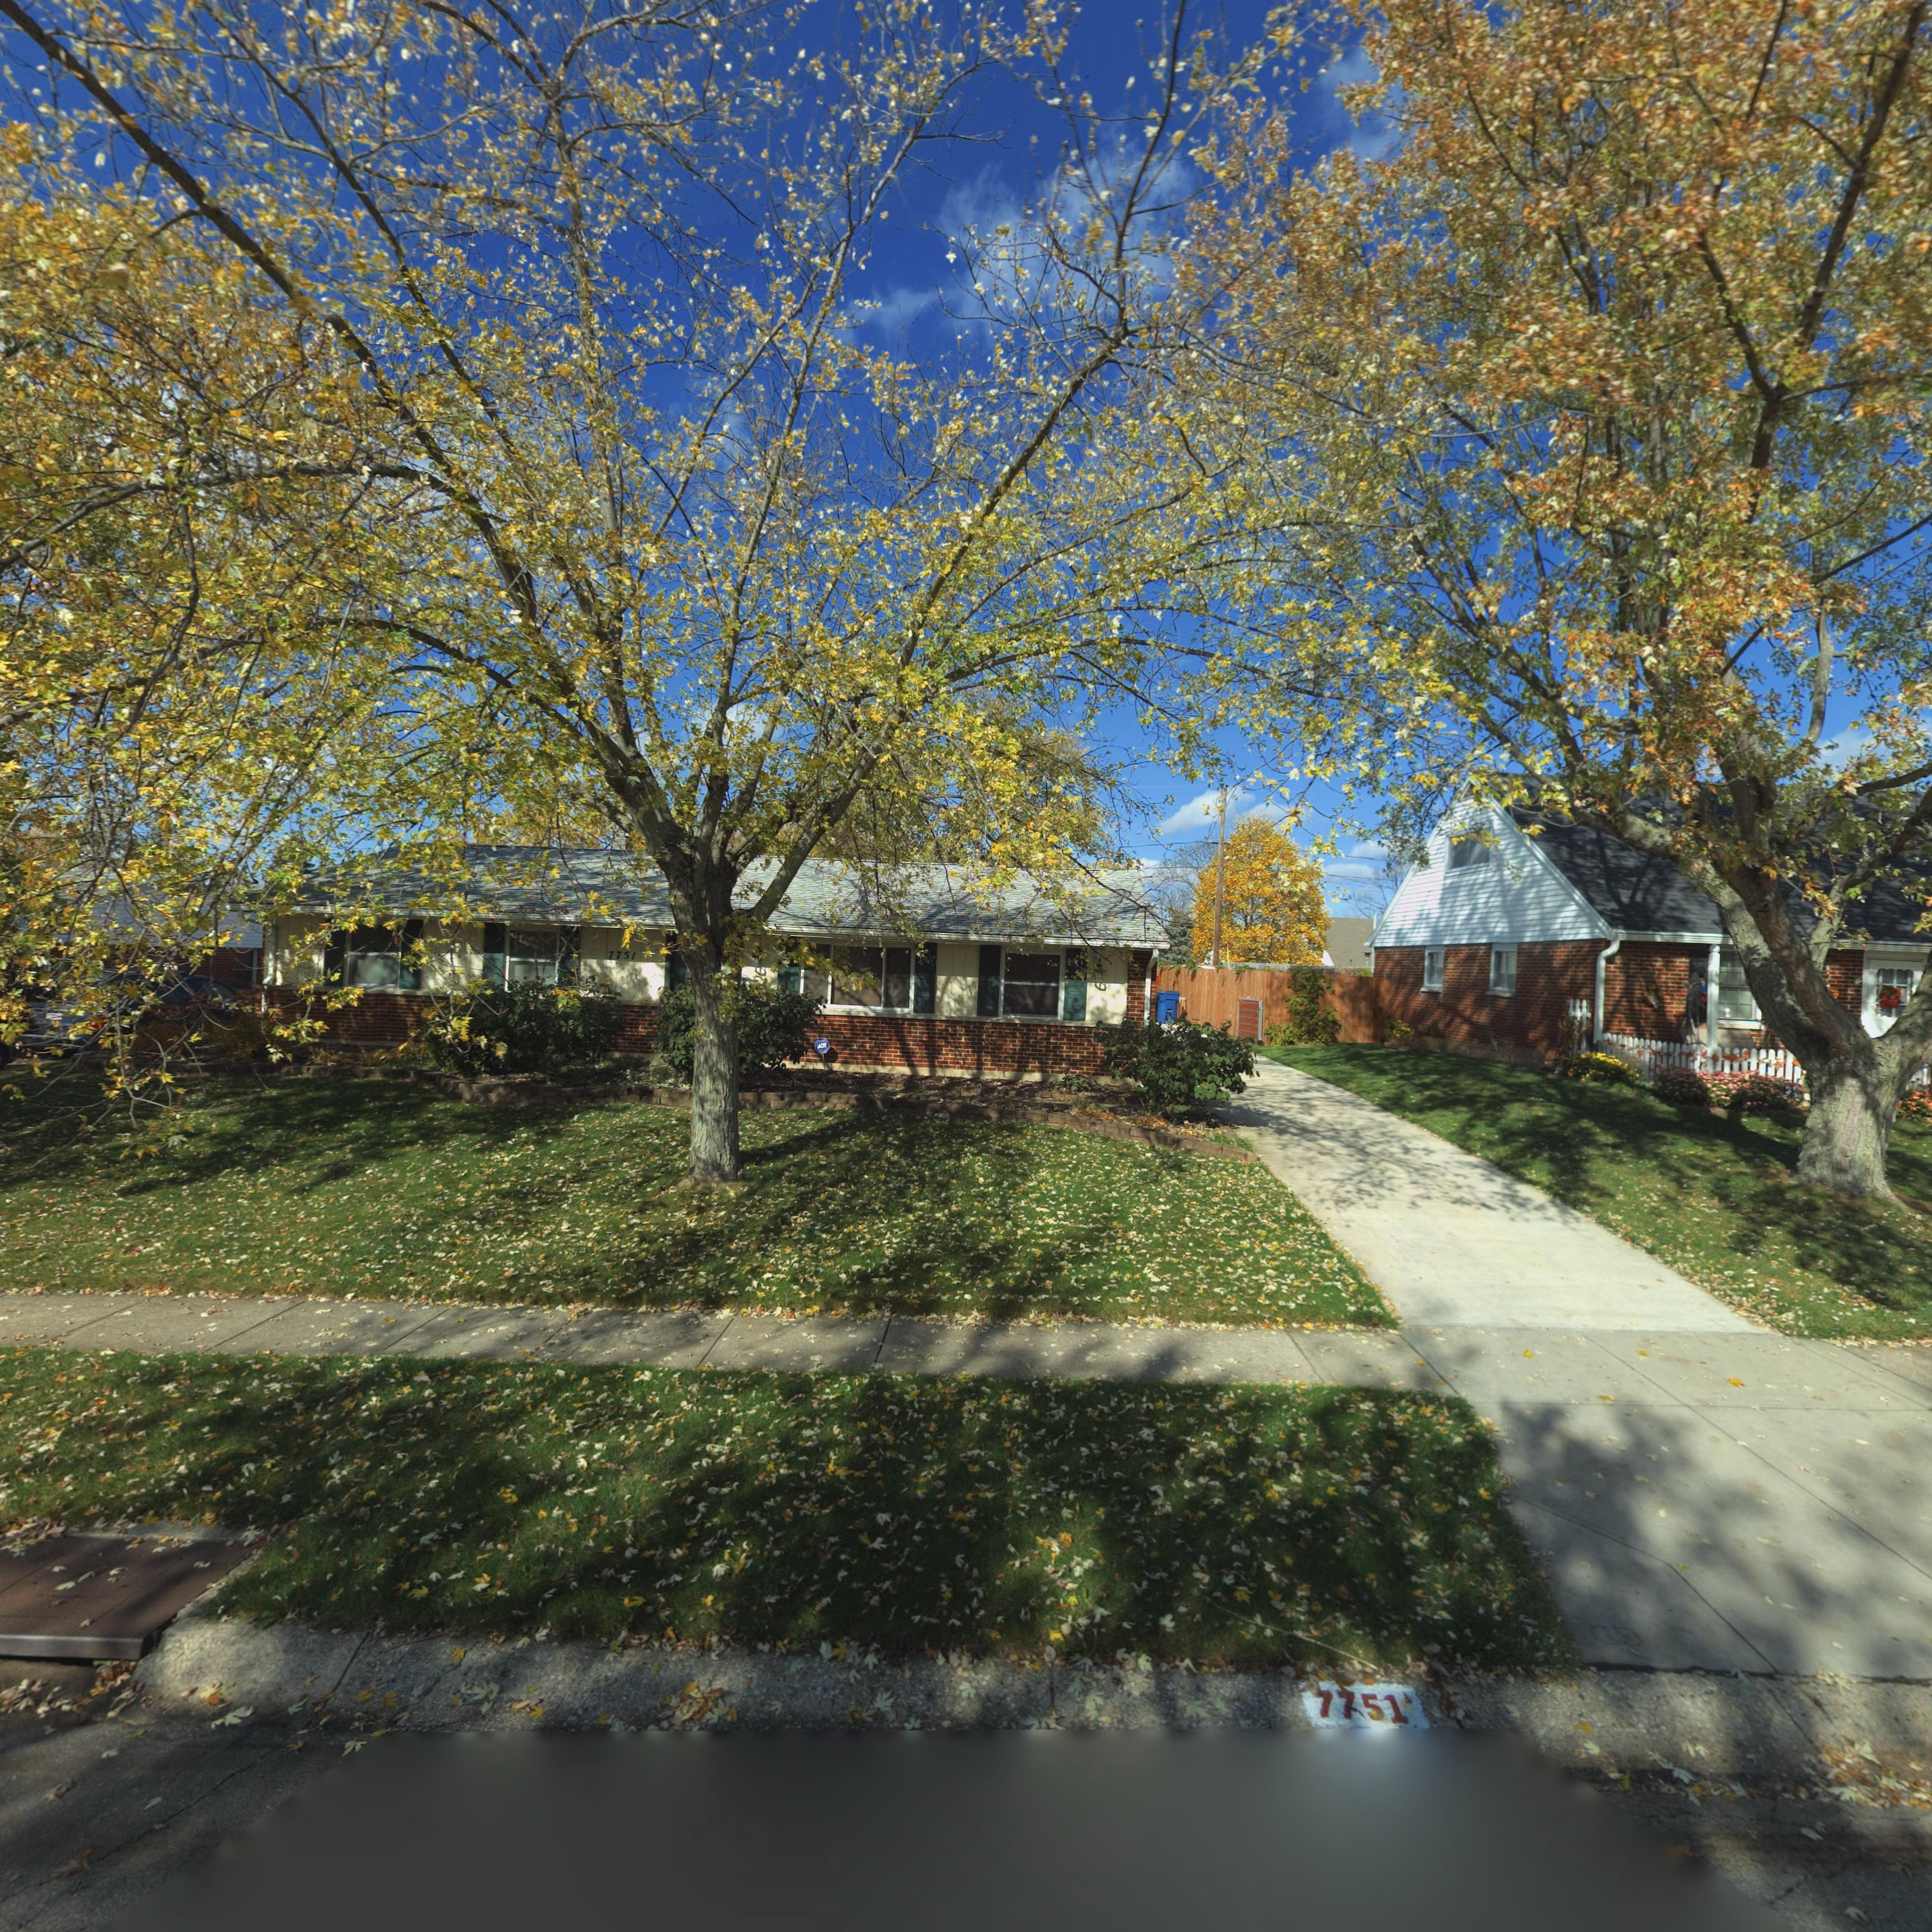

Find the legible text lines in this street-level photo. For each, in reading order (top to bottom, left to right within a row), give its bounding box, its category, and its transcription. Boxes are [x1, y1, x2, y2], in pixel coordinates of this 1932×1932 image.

[608, 950, 636, 961] StreetNumber: 7751
[1309, 1689, 1411, 1725] StreetNumber: 7751